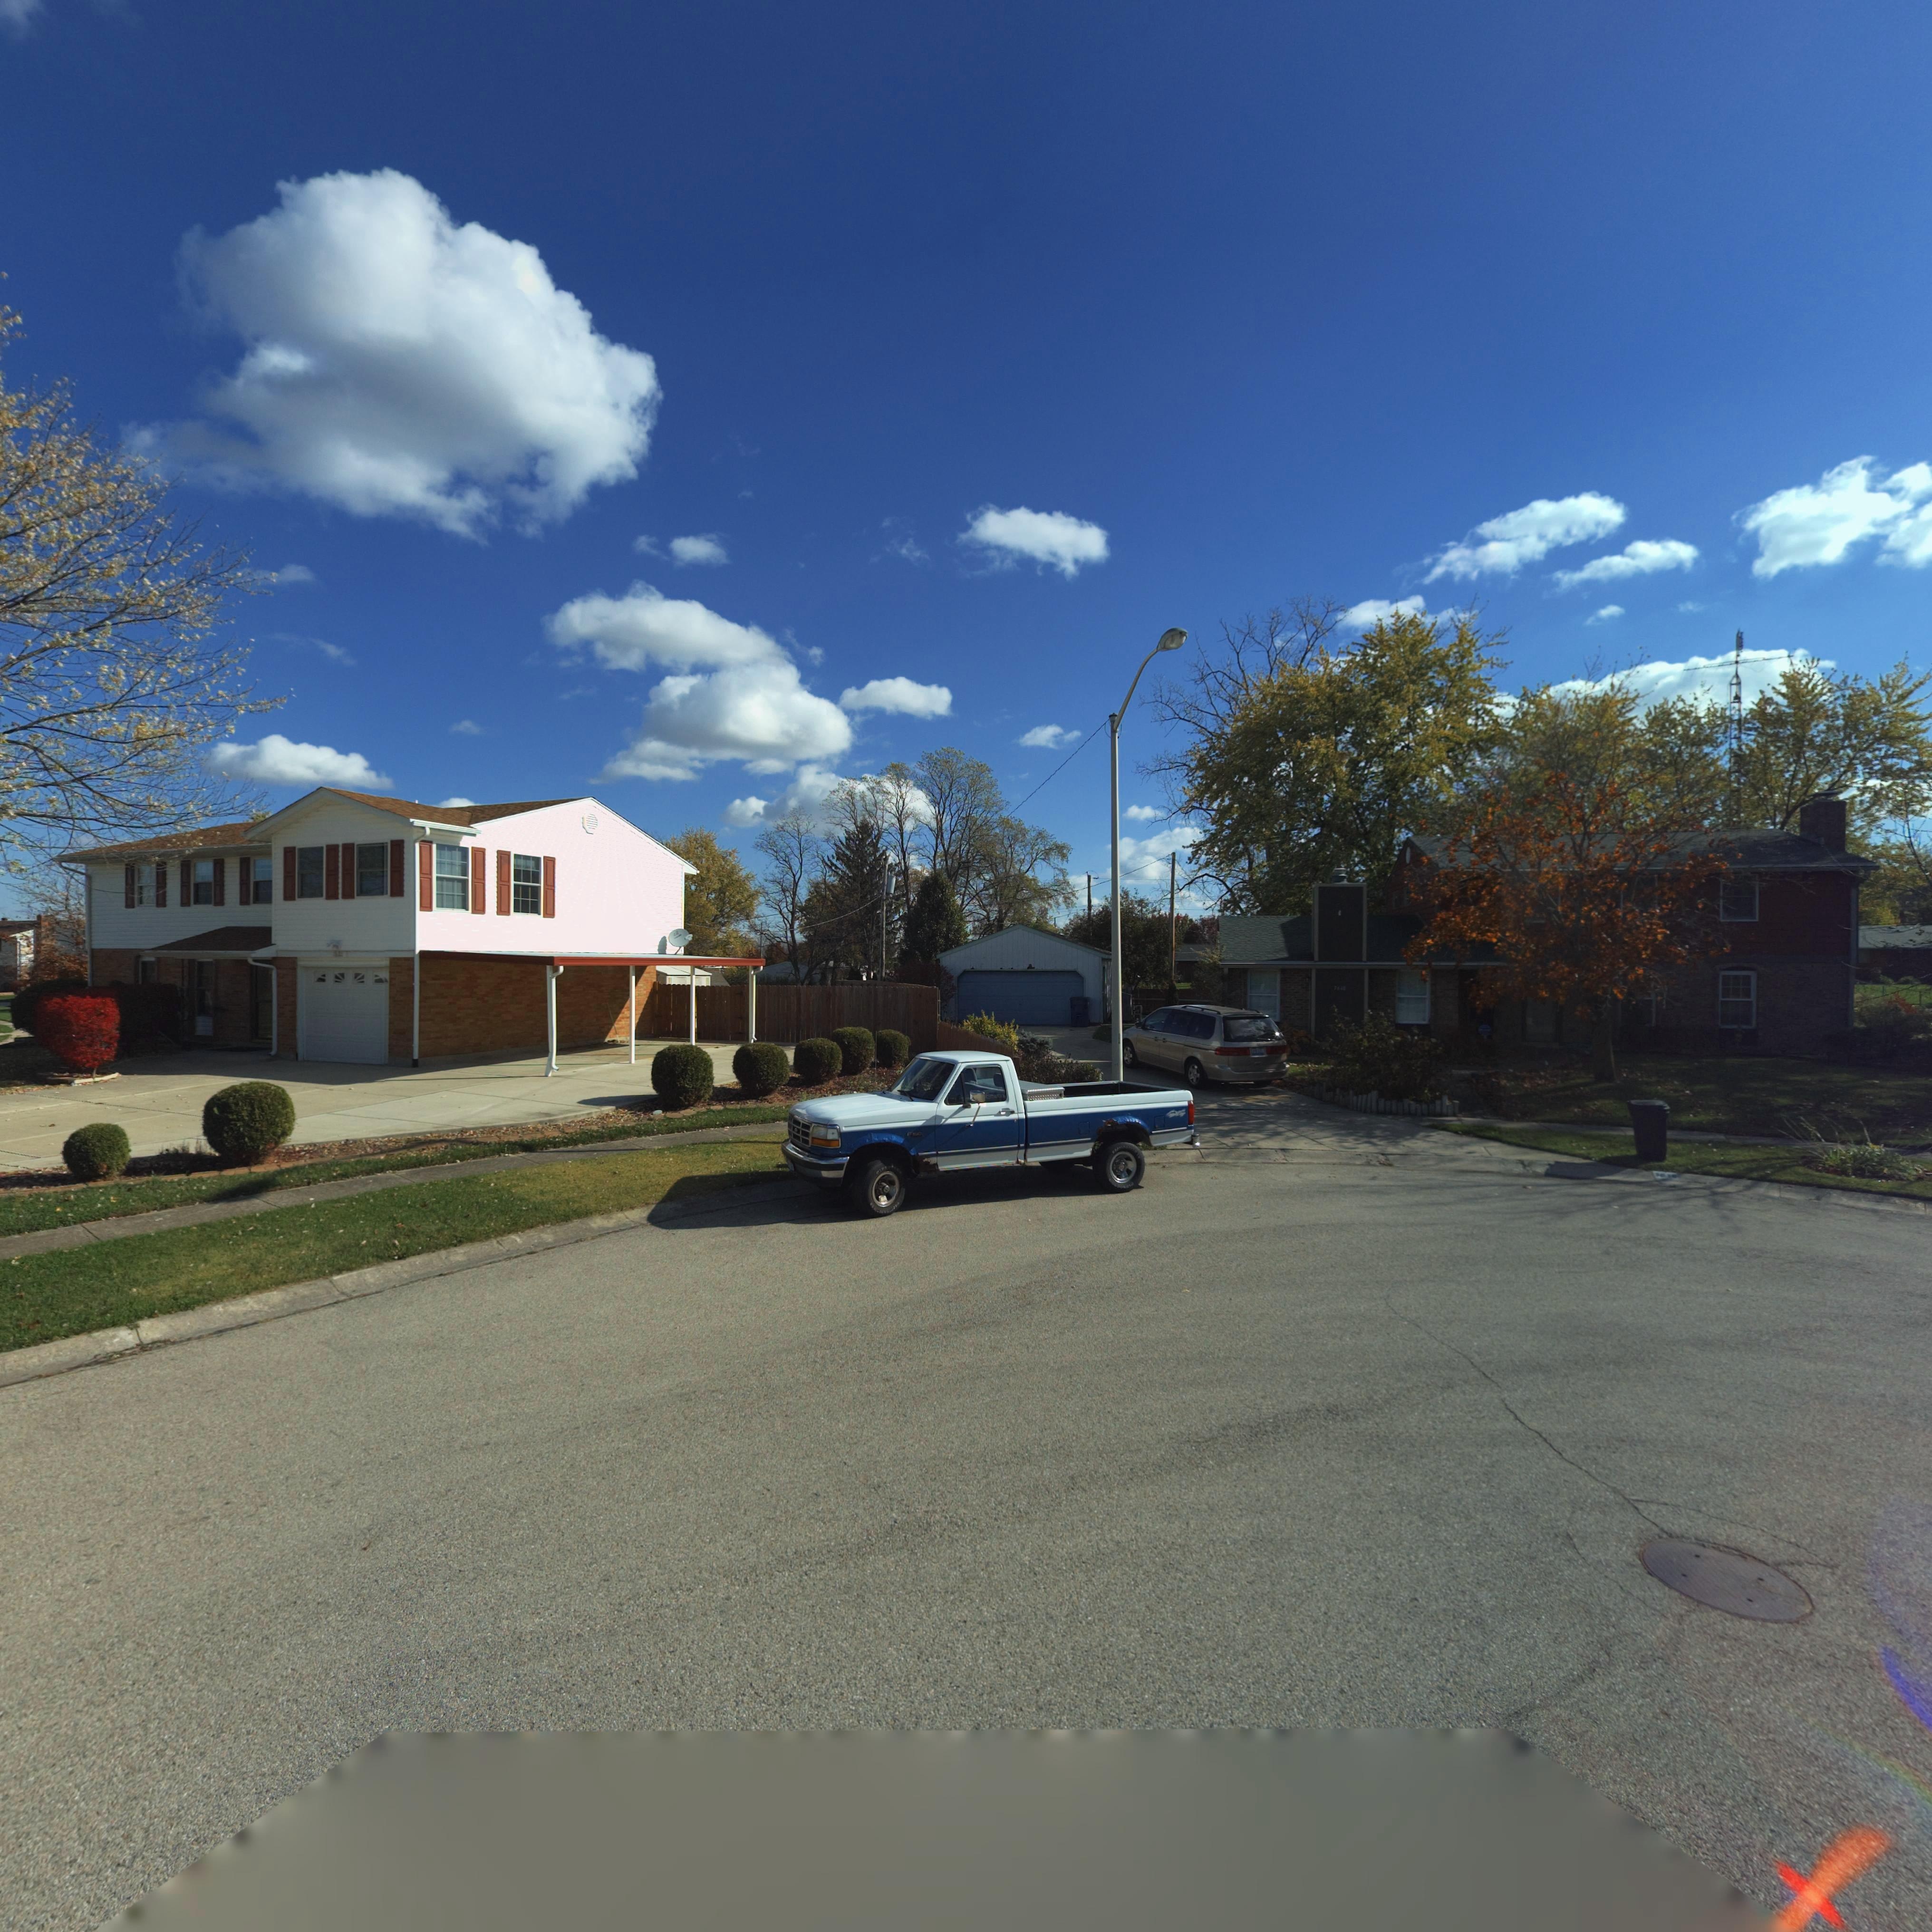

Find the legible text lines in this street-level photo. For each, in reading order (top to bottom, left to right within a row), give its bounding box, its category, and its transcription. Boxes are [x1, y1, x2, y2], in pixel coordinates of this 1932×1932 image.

[1333, 985, 1347, 992] StreetNumber: 7***